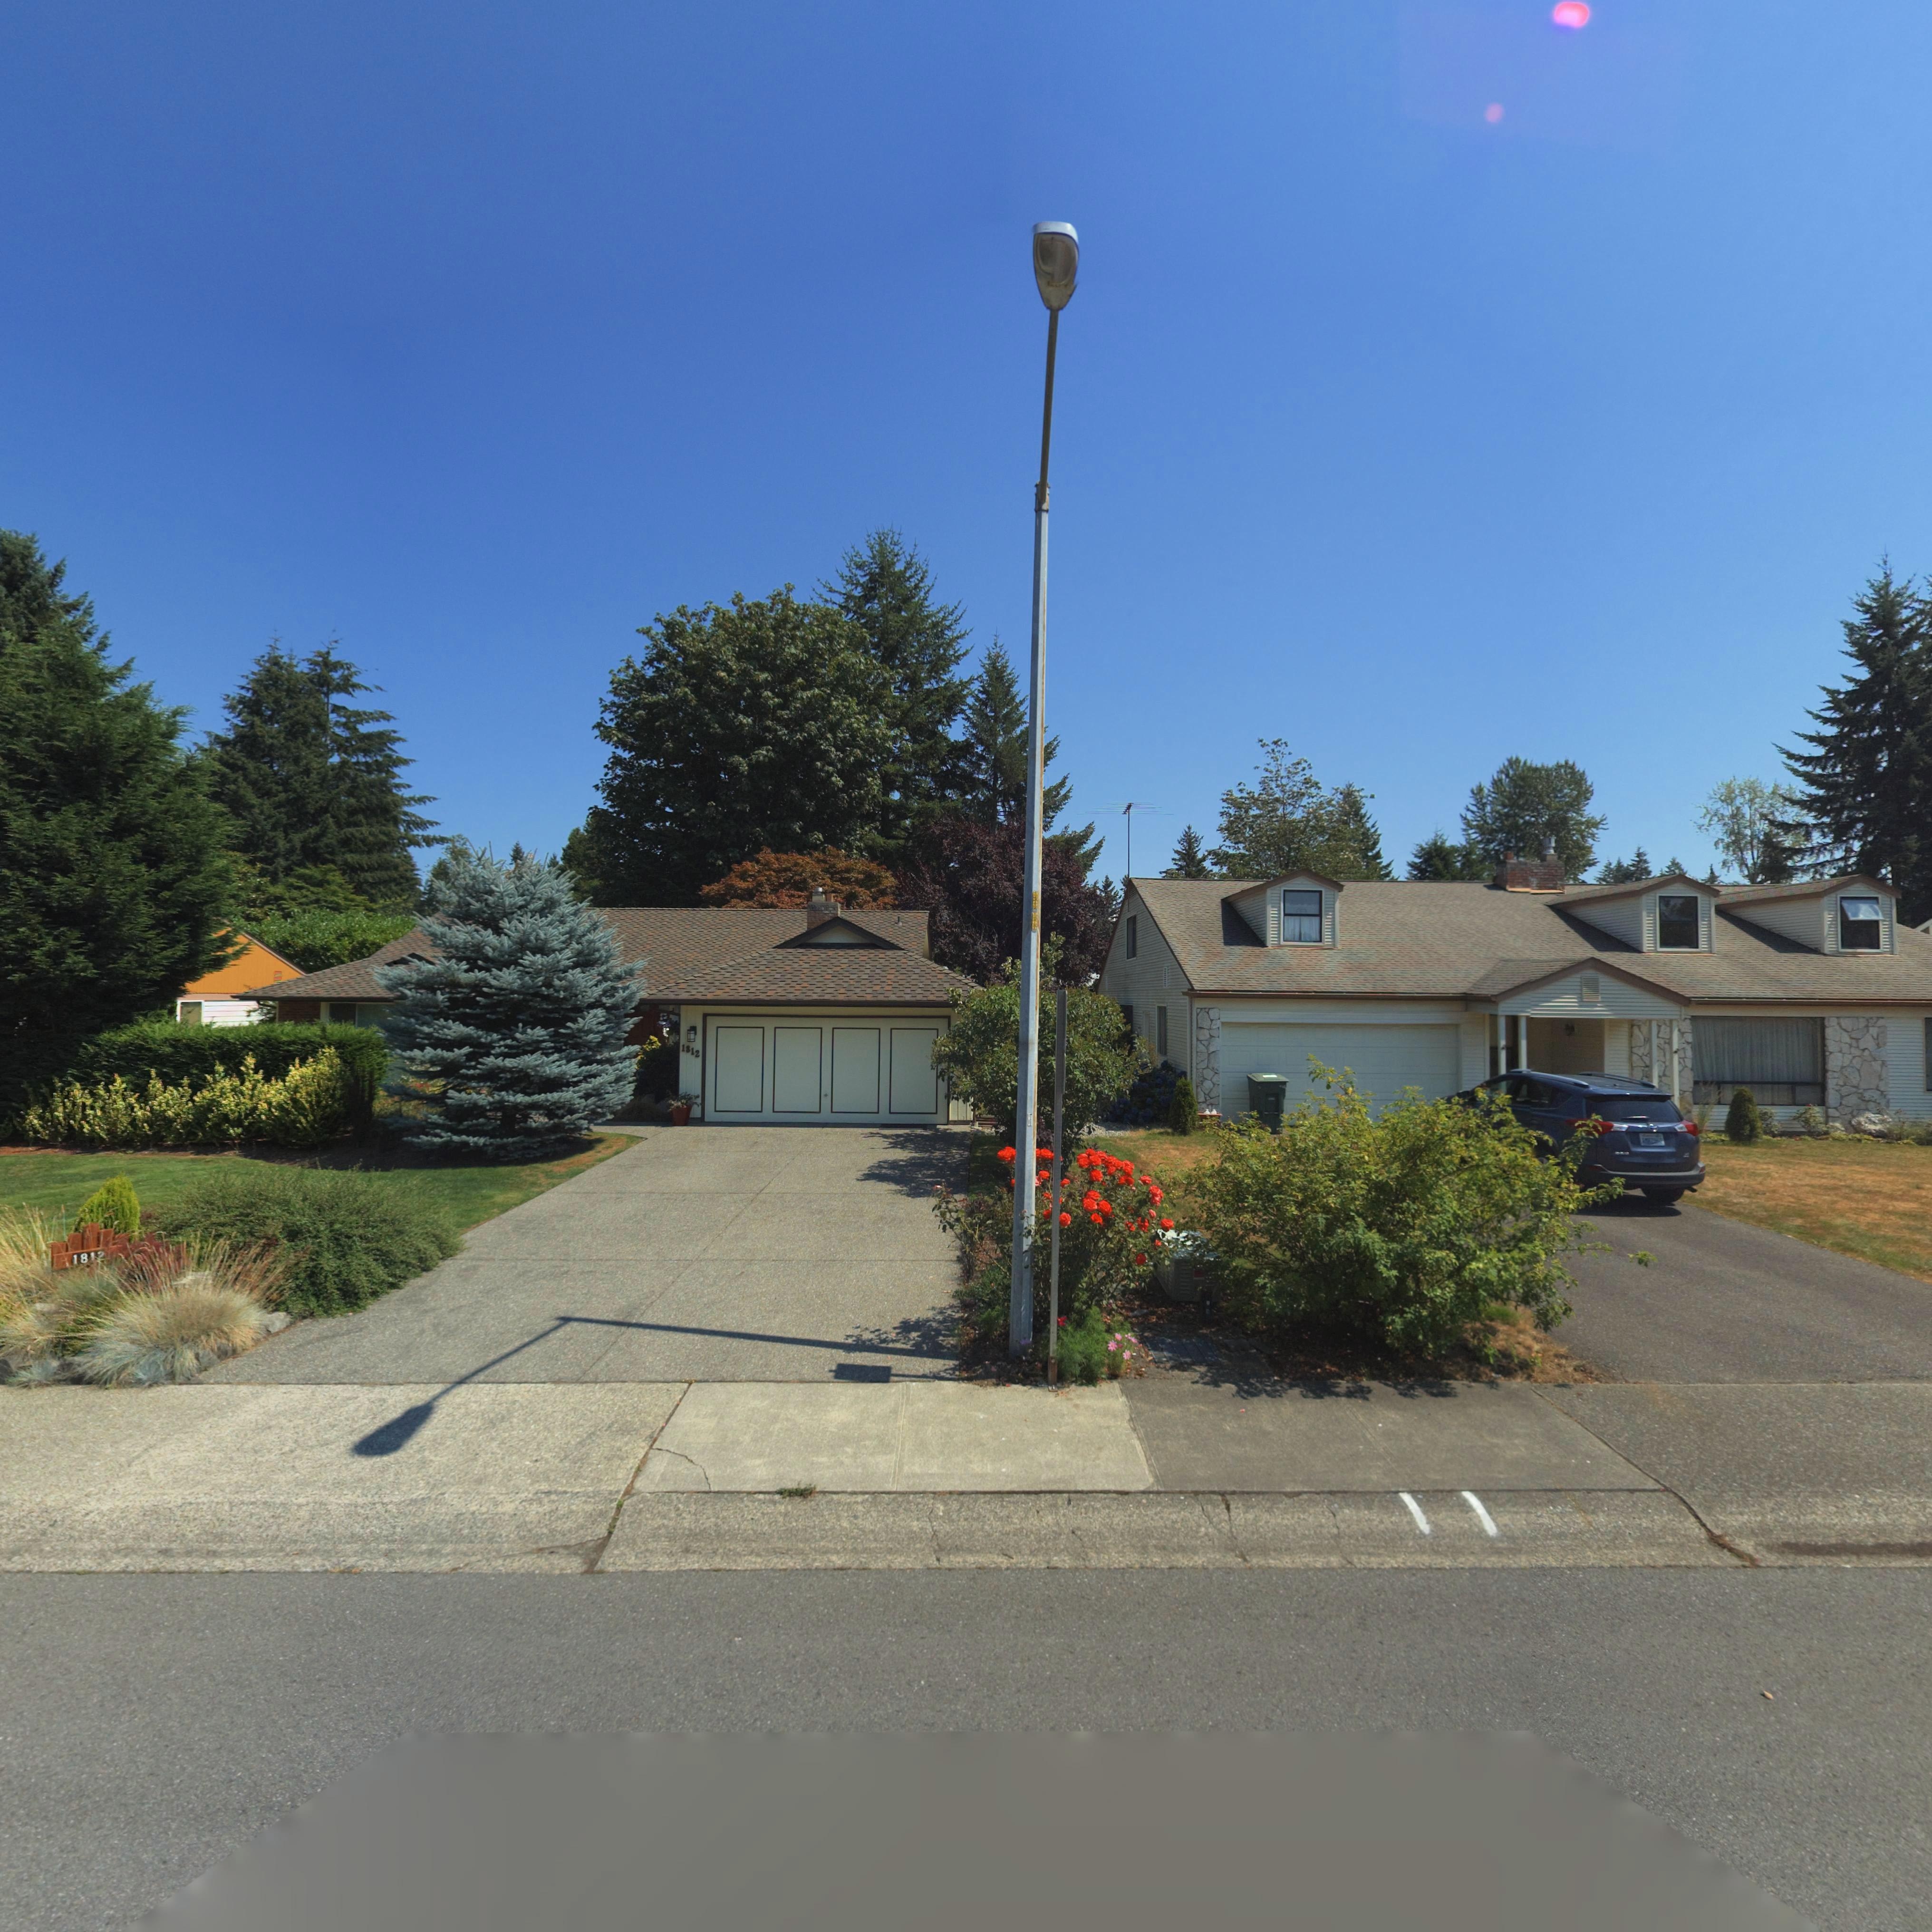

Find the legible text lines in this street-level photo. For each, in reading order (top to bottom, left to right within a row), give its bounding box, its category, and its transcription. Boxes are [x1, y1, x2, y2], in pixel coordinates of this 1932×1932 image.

[681, 1043, 701, 1058] StreetNumber: 1812